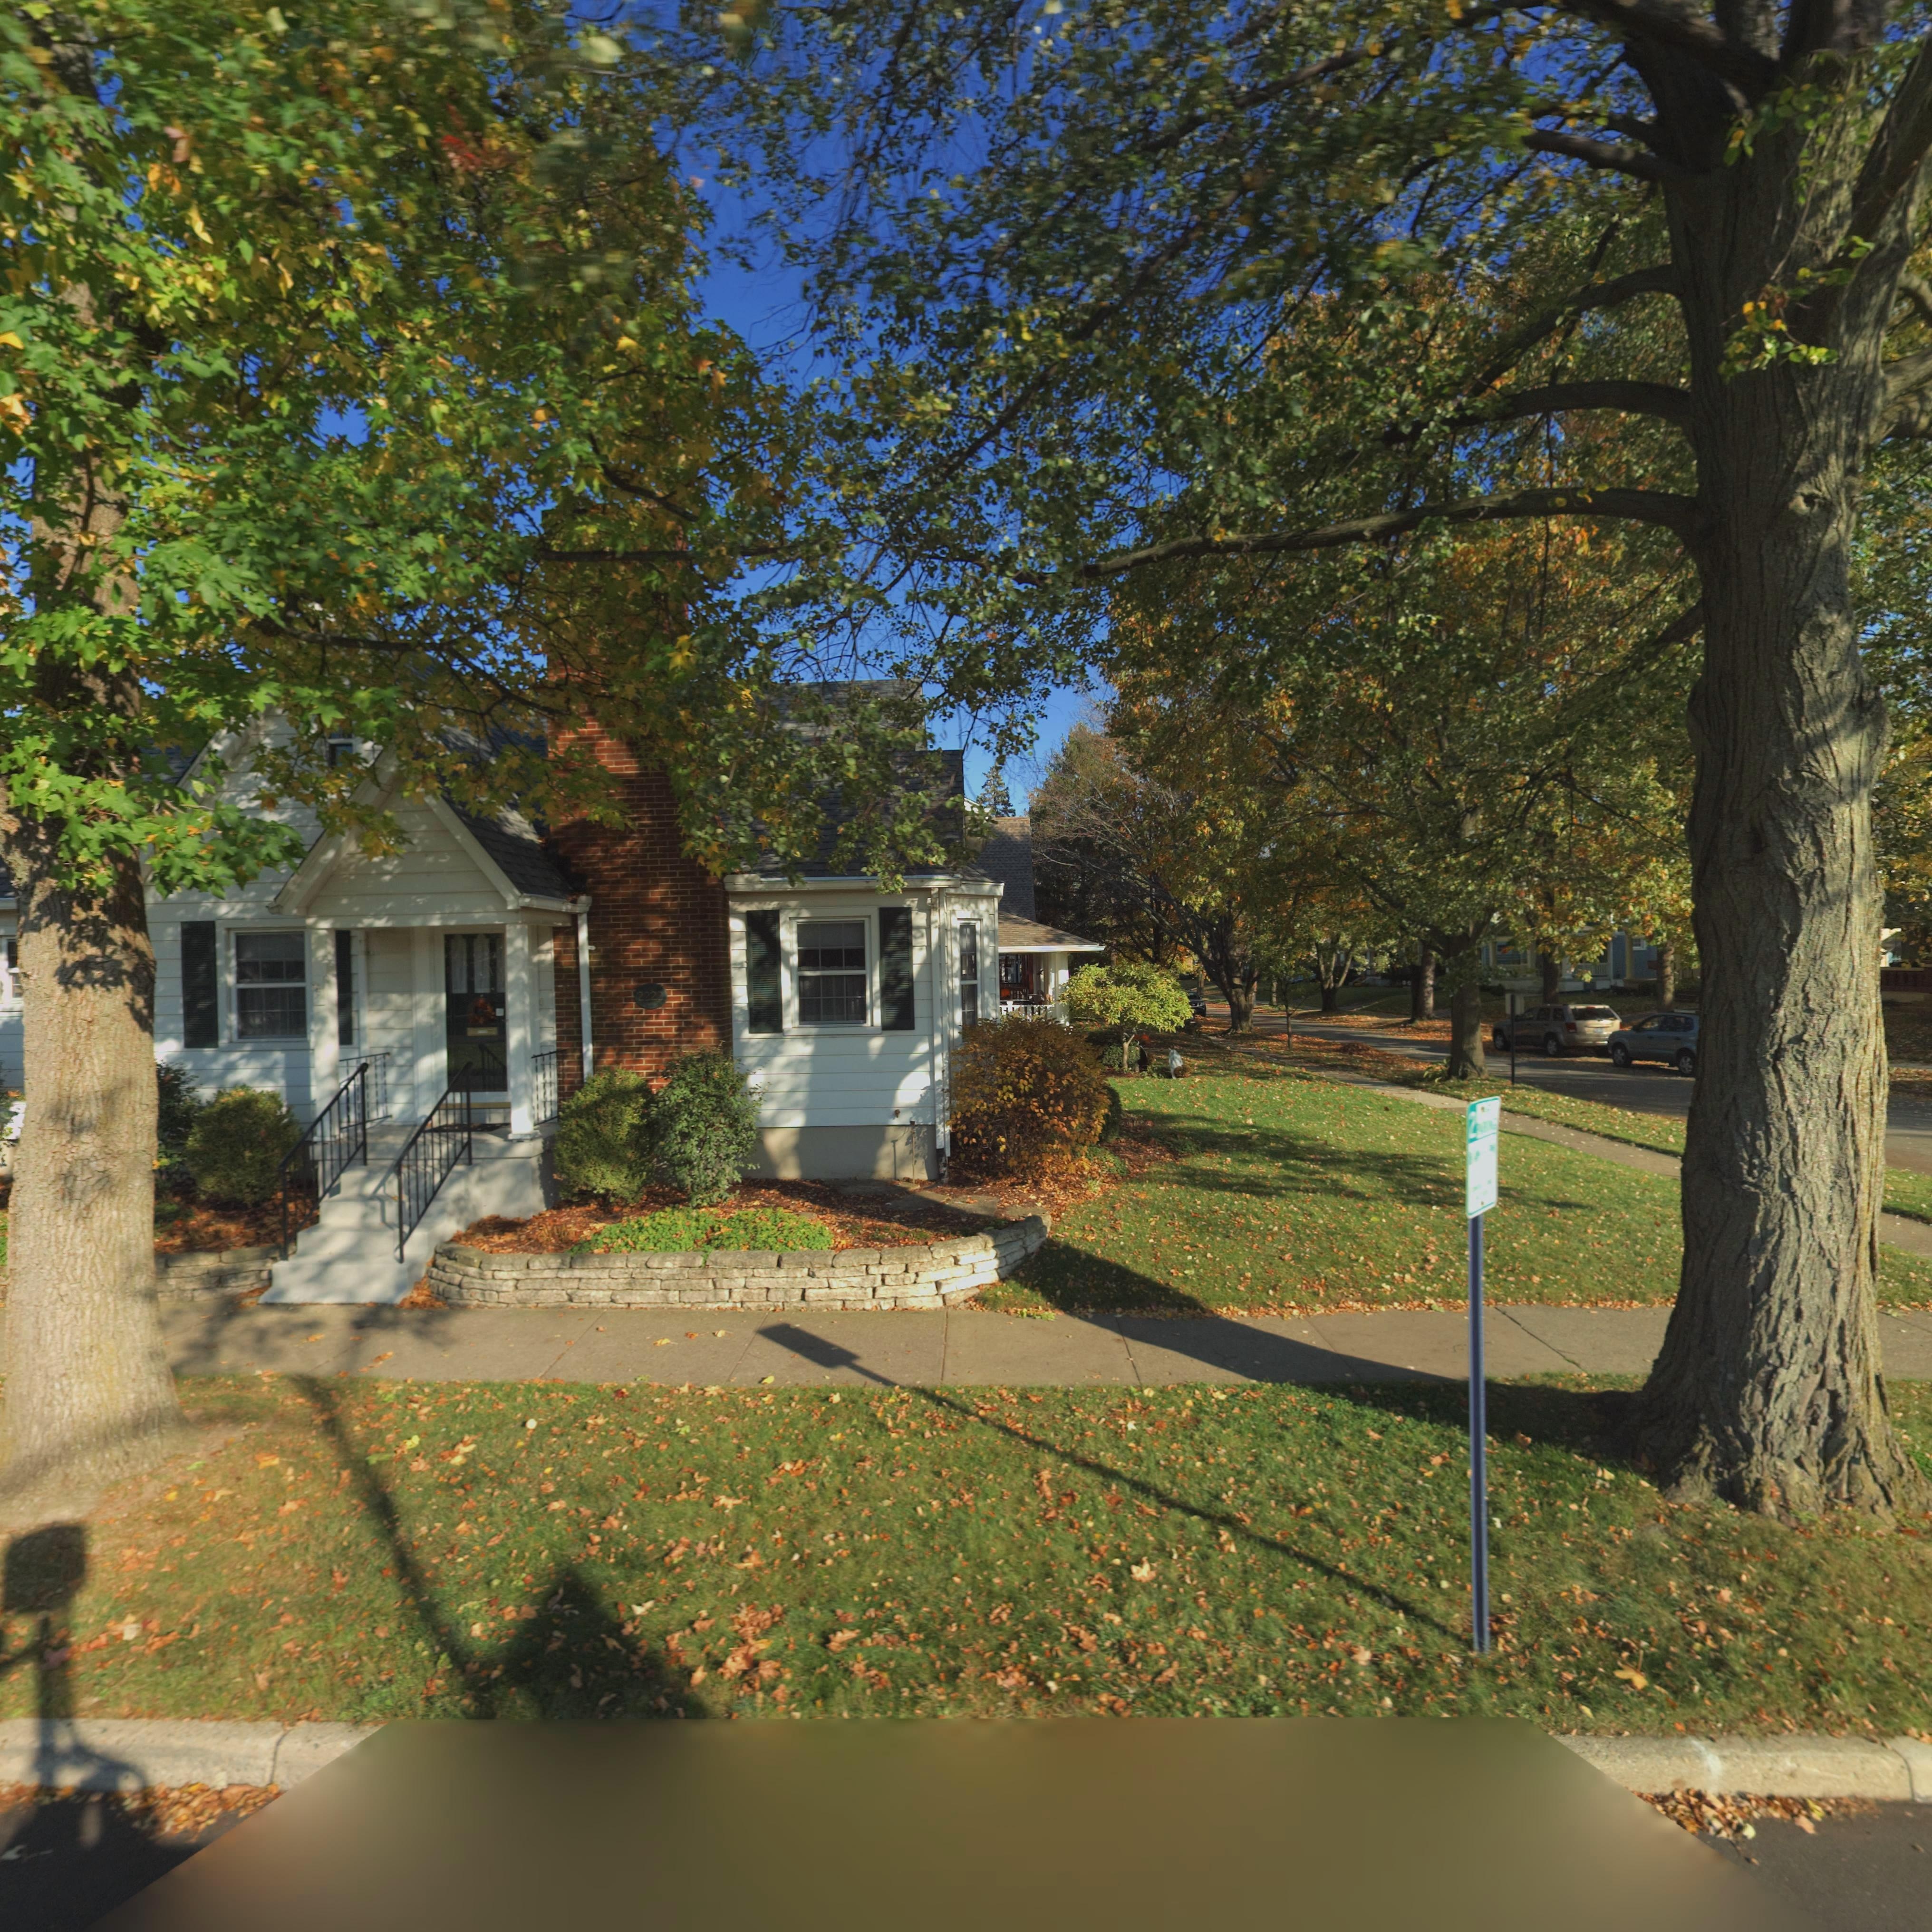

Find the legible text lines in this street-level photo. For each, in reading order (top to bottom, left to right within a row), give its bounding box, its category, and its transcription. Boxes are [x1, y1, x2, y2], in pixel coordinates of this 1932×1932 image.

[636, 989, 664, 1003] StreetNumber: 2222